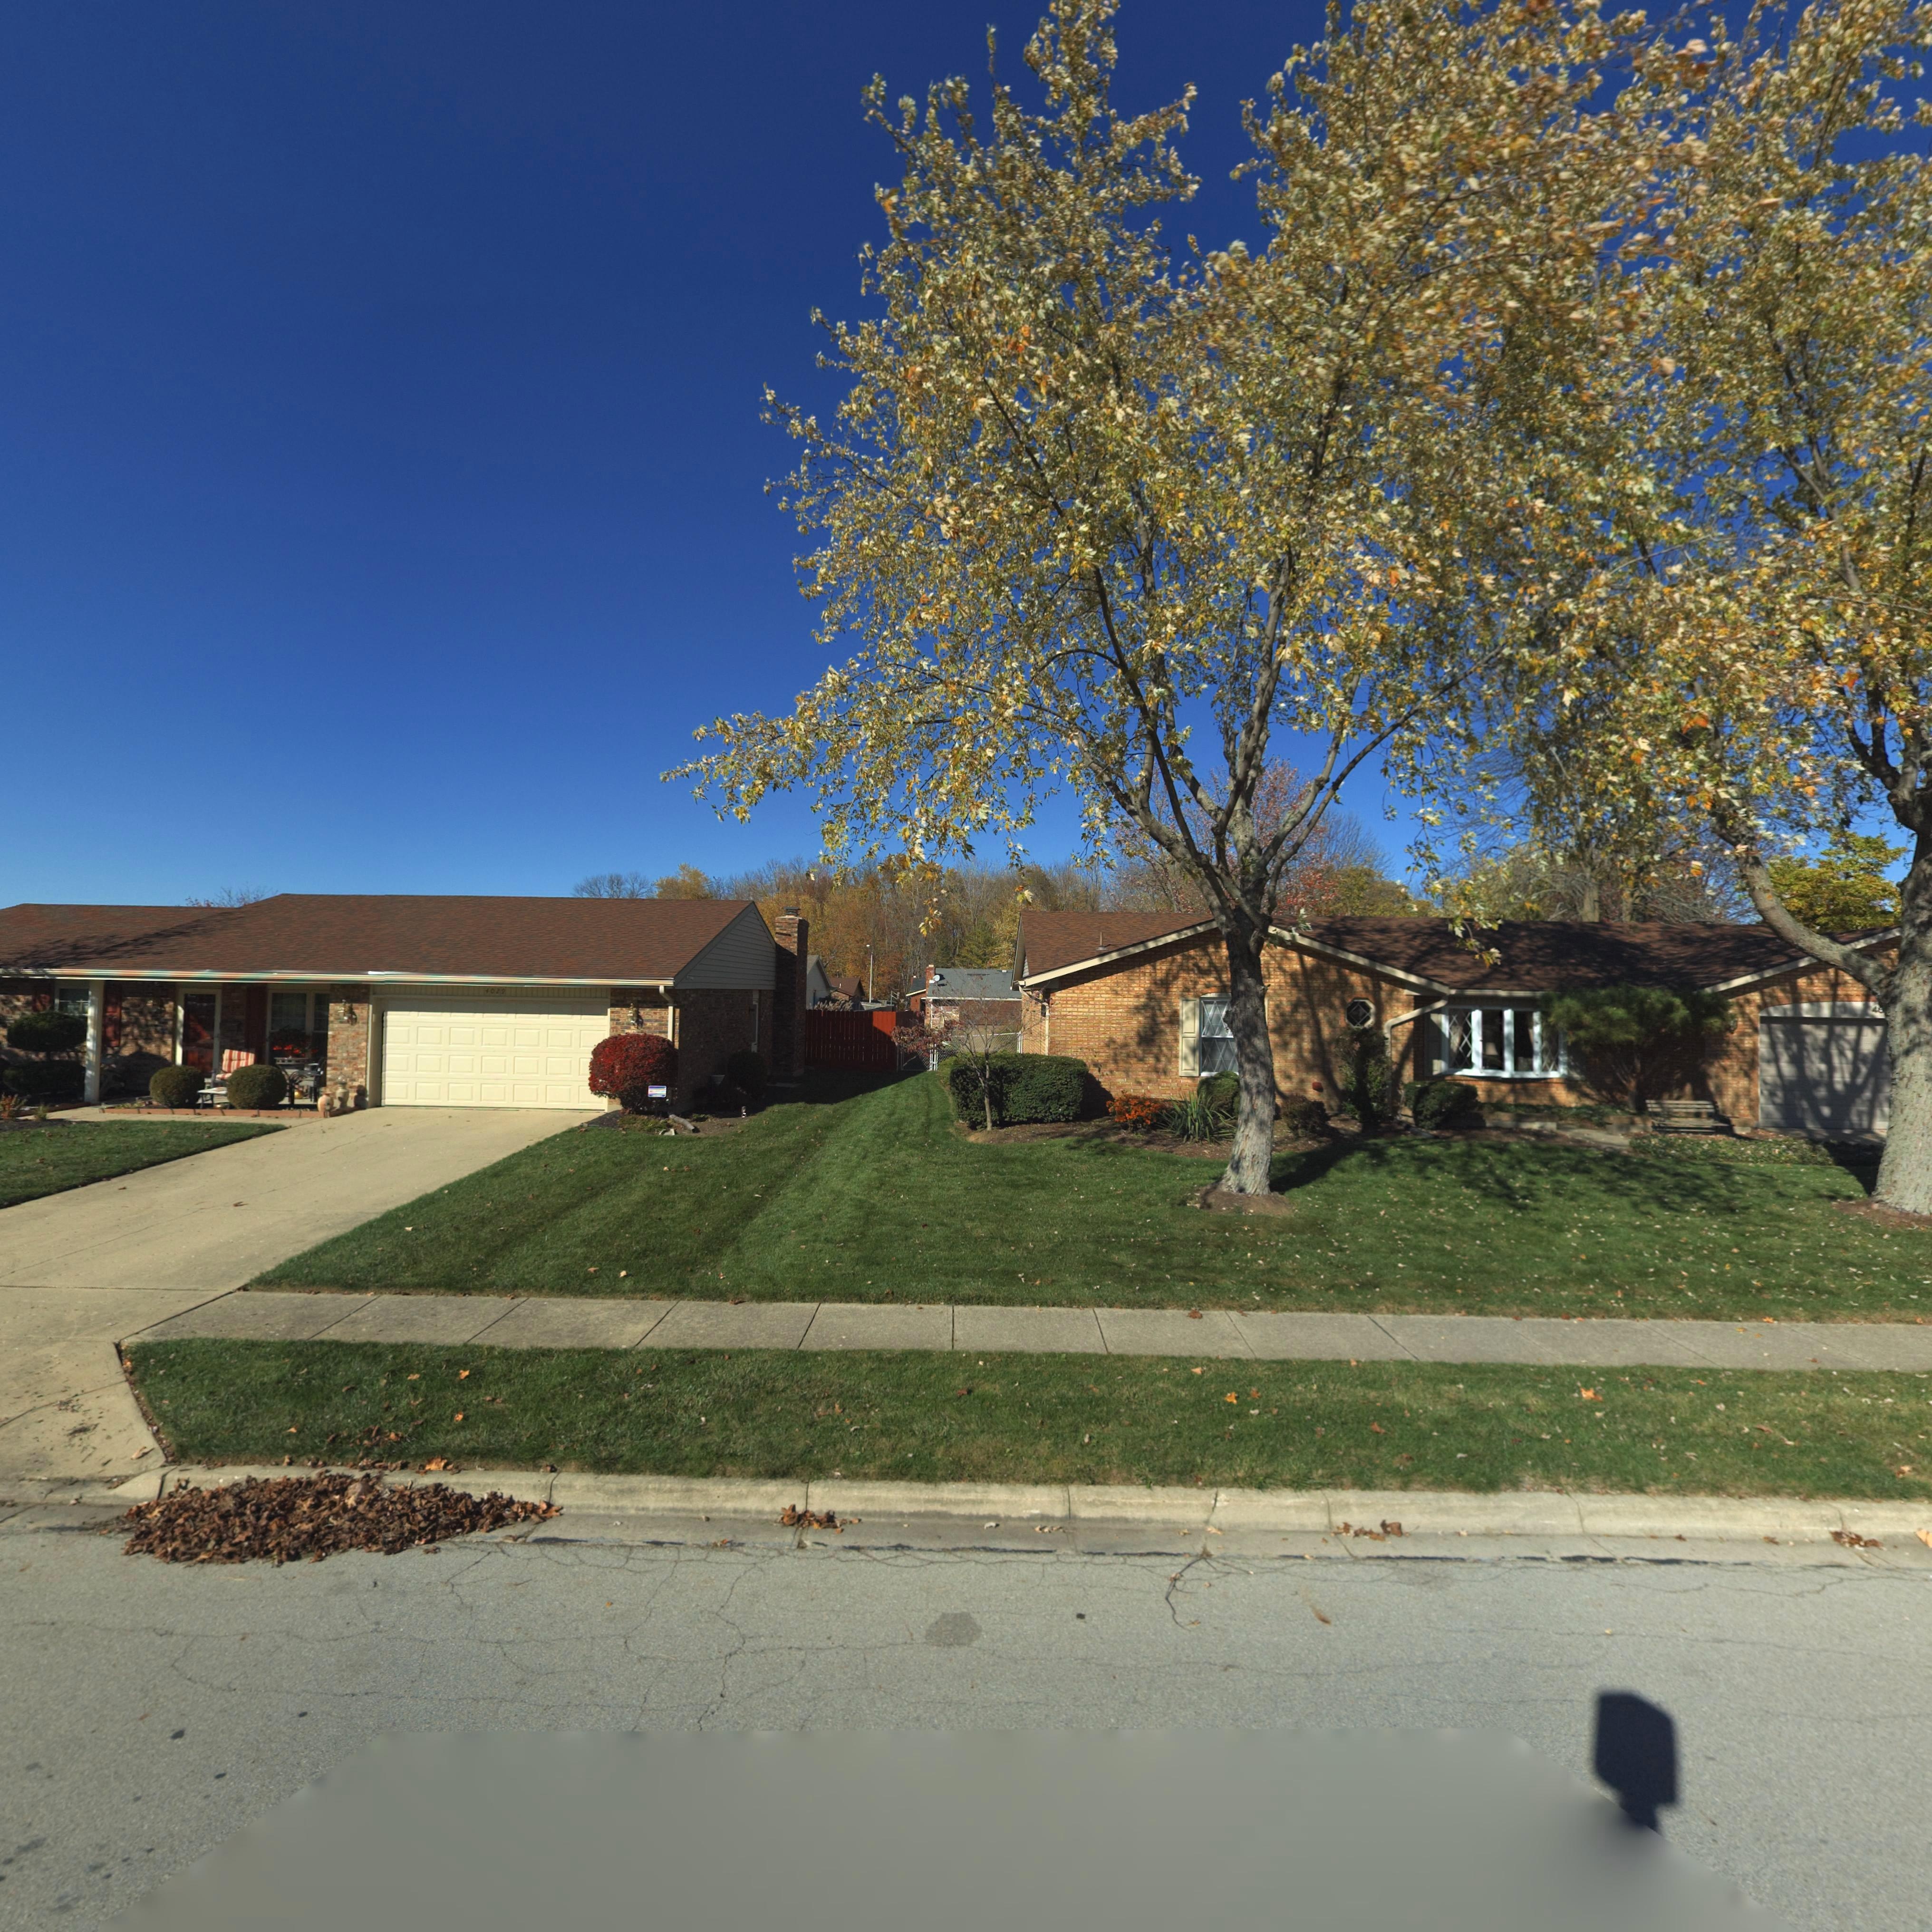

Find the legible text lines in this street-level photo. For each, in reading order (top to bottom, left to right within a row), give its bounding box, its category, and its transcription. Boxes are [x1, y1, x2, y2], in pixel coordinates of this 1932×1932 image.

[485, 987, 505, 994] StreetNumber: 4029
[1872, 1005, 1878, 1013] StreetNumber: 4